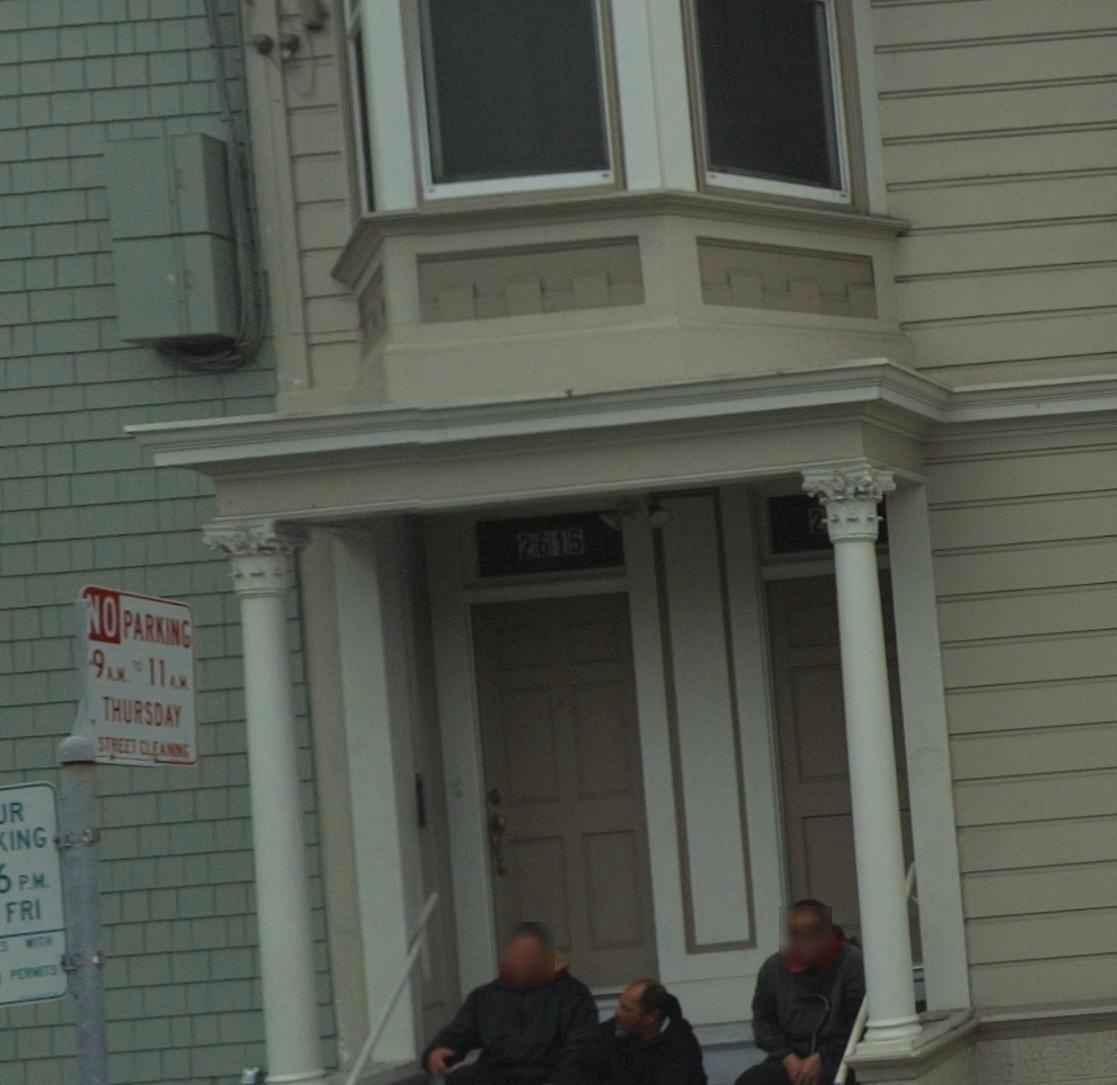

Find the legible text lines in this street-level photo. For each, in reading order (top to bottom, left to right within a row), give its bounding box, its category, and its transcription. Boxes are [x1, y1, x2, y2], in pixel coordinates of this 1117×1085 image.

[518, 528, 586, 560] StreetNumber: 2615
[101, 594, 191, 652] None: O PARKING
[92, 647, 126, 684] None: 9AM
[147, 655, 189, 692] None: 11AM
[102, 694, 182, 730] None: THURSDAY
[96, 734, 190, 759] None: STREET CLEANING
[7, 800, 26, 824] None: R
[5, 824, 48, 853] None: ING
[14, 871, 51, 895] None: P.M.
[4, 897, 43, 926] None: FRI
[22, 934, 53, 951] None: WITH
[7, 962, 59, 984] None: PERMITS